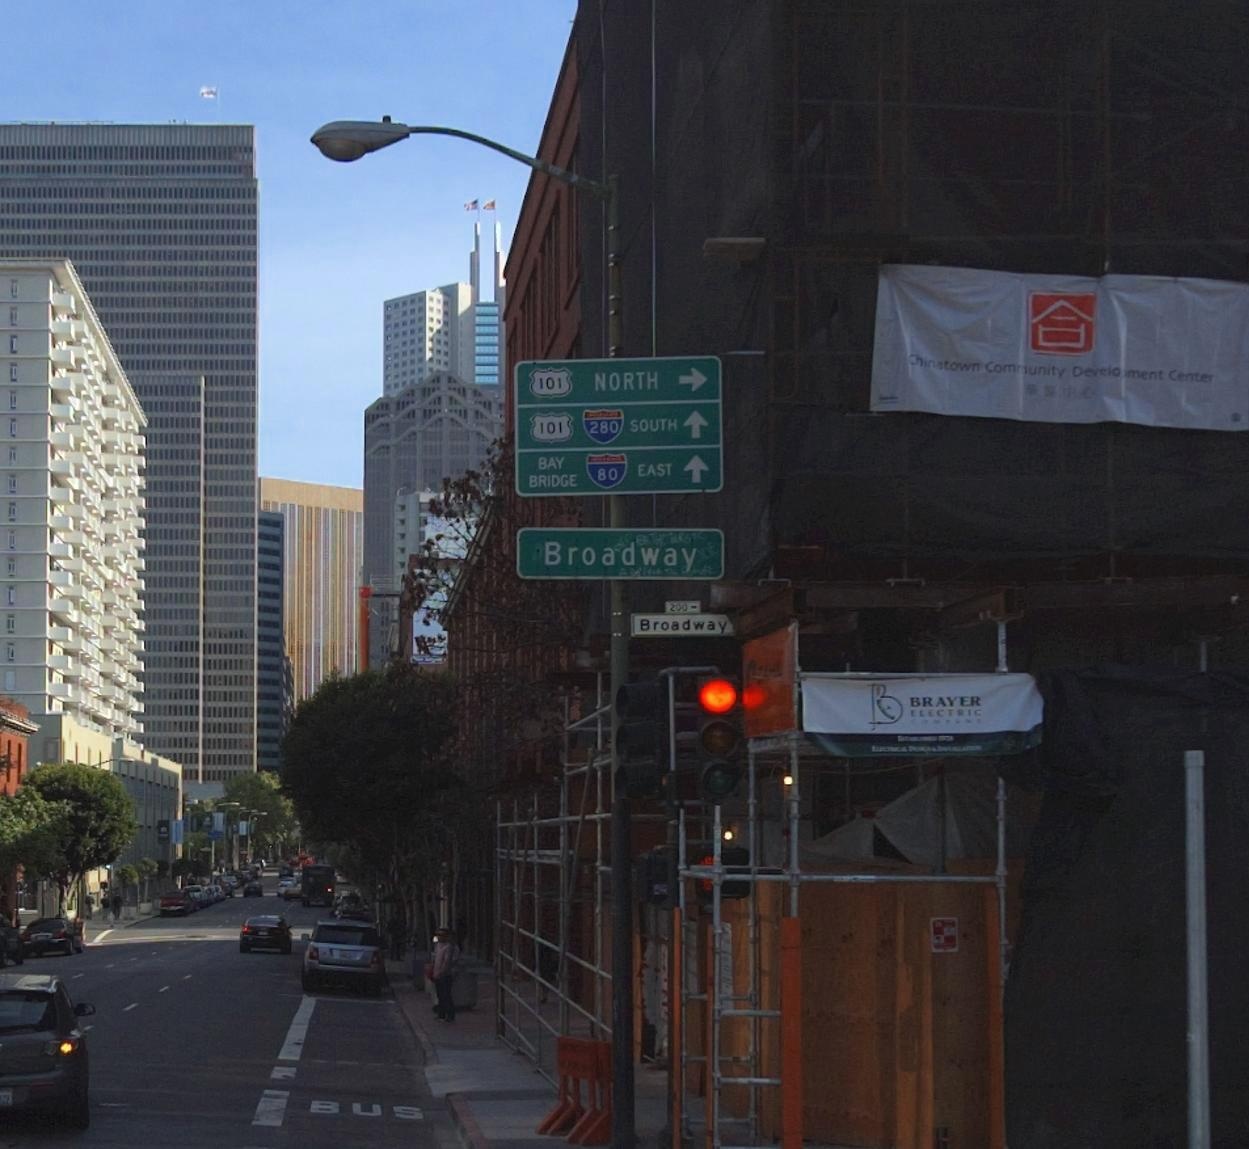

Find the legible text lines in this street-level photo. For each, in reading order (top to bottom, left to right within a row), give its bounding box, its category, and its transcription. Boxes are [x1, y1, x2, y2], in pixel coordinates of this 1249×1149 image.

[904, 348, 1219, 387] None: Chinatown Com*unity Develo*ment Center
[537, 375, 564, 392] None: 101
[592, 369, 660, 394] None: NORTH
[538, 420, 564, 436] None: 101
[587, 418, 622, 436] None: 280
[627, 416, 680, 435] None: SOUTH
[536, 454, 567, 472] None: BAY
[527, 472, 579, 490] None: BRIDGE
[595, 466, 620, 483] None: 80
[635, 461, 676, 480] None: EAST
[541, 539, 699, 575] StreetName: Broadway
[667, 600, 700, 613] StreetNumberRange: 200->
[638, 616, 729, 636] StreetName: Broadway
[907, 694, 984, 710] None: BRAYER
[907, 707, 985, 719] None: ELECTRIC
[304, 1096, 427, 1123] None: BUS